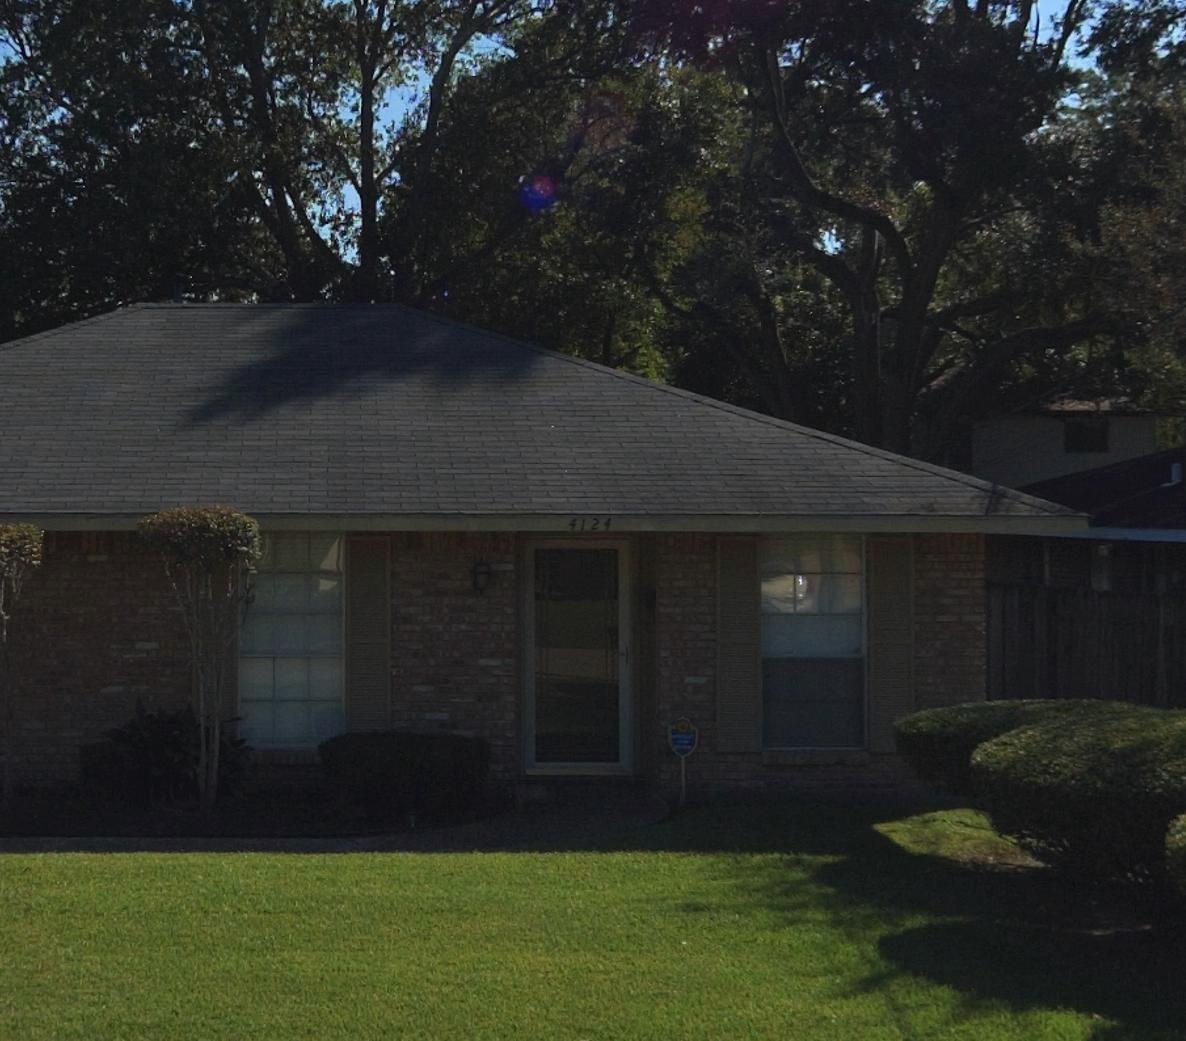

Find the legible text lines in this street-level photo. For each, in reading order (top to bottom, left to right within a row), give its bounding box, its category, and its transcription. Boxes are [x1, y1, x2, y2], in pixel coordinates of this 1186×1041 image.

[568, 517, 612, 532] StreetNumber: 4124